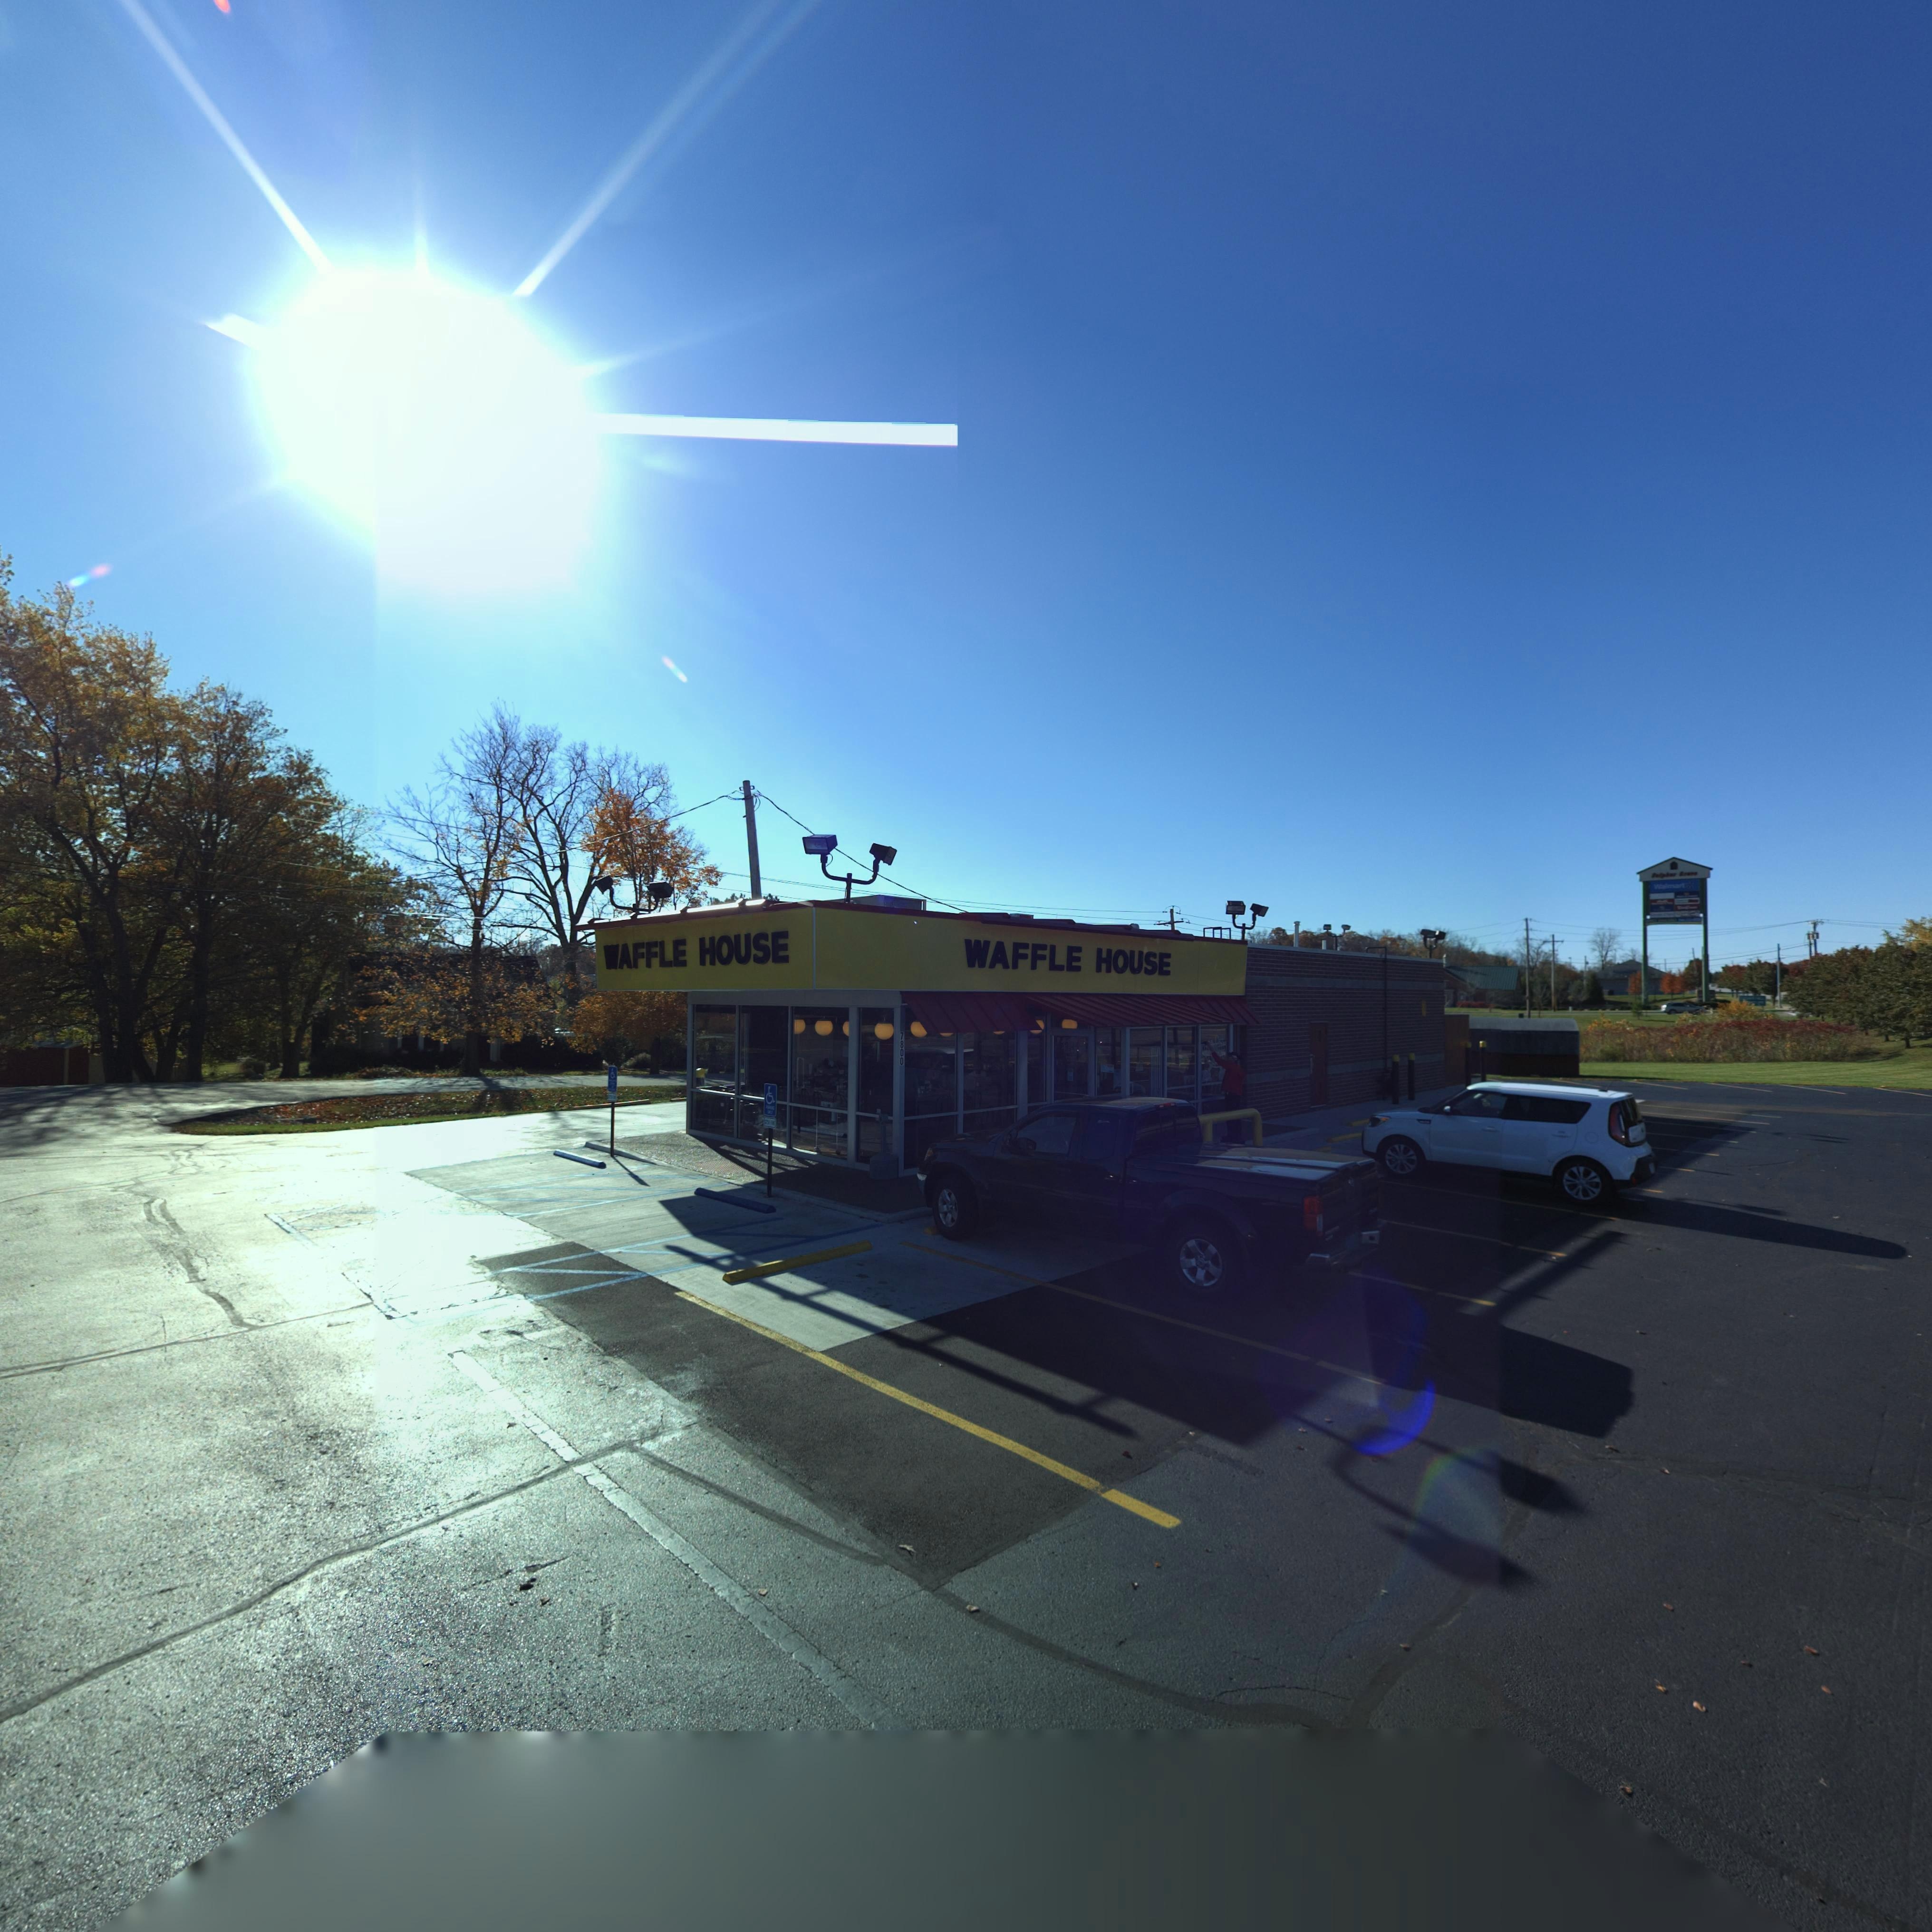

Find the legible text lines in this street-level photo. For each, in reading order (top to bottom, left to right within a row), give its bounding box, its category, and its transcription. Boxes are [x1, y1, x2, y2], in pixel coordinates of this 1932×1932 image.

[899, 1031, 904, 1066] StreetNumber: 7800